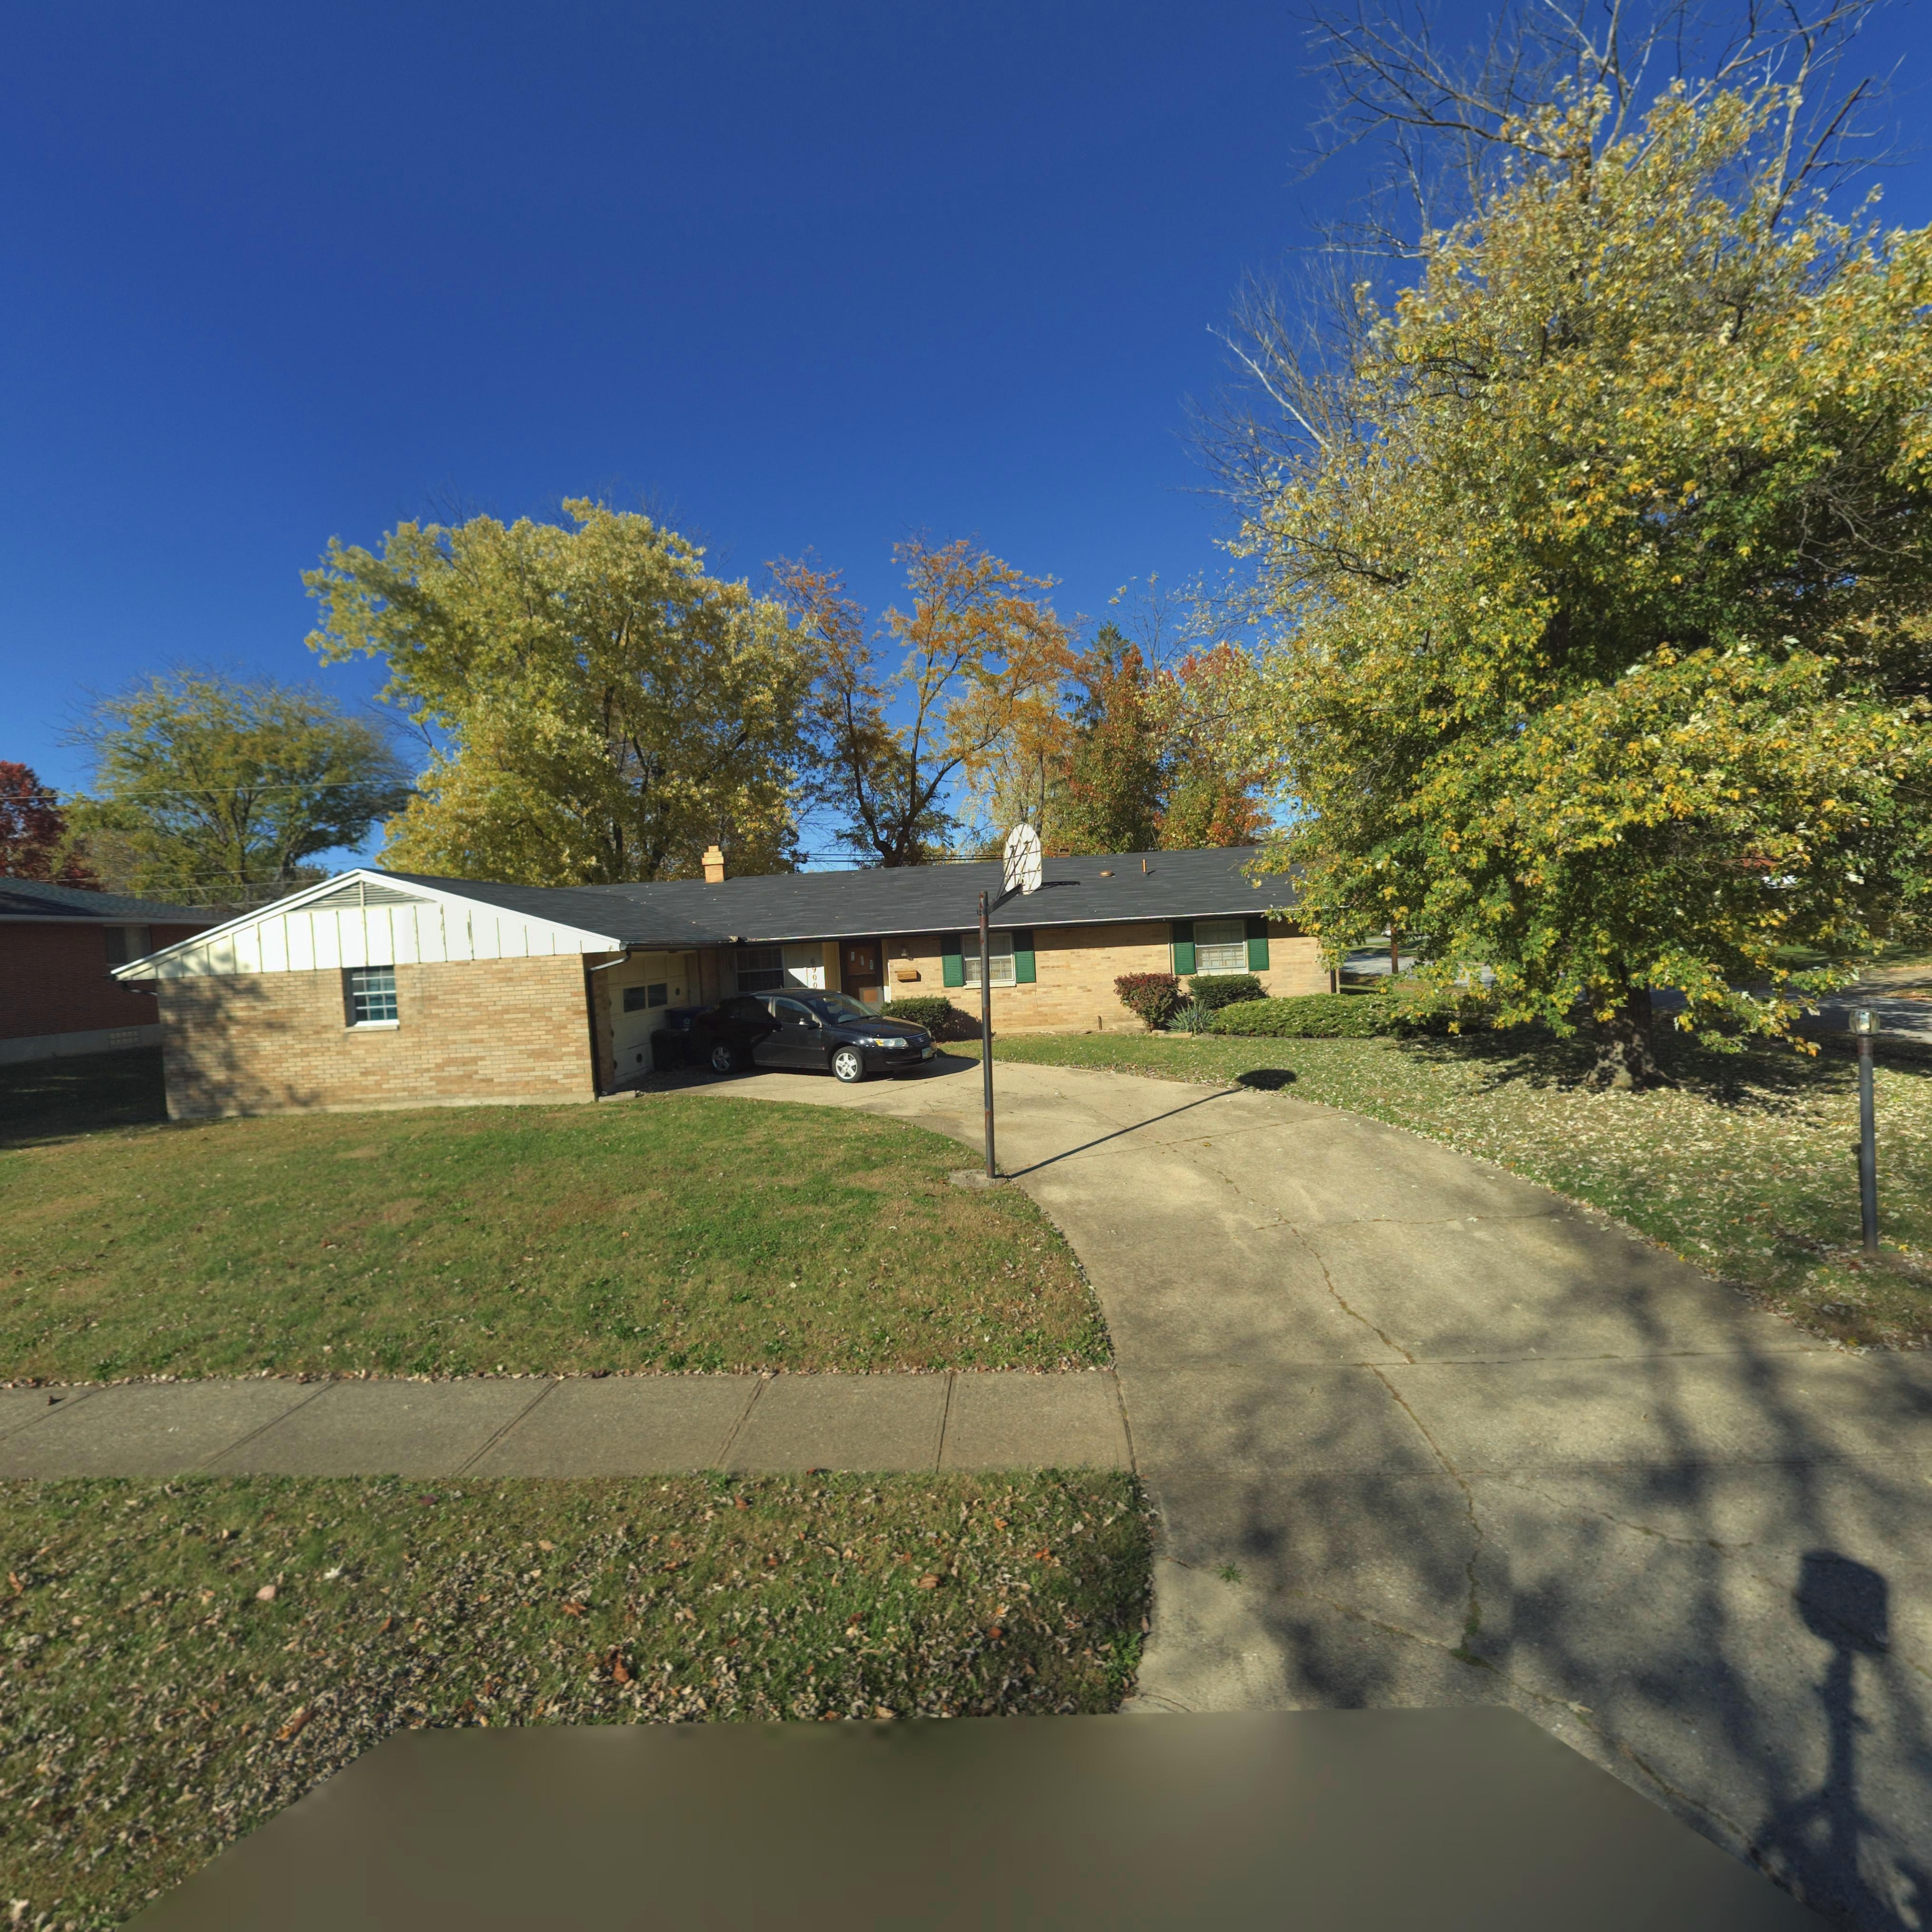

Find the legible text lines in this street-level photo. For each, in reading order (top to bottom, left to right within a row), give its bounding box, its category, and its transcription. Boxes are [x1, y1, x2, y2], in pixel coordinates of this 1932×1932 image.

[810, 957, 818, 989] StreetNumber: 6900